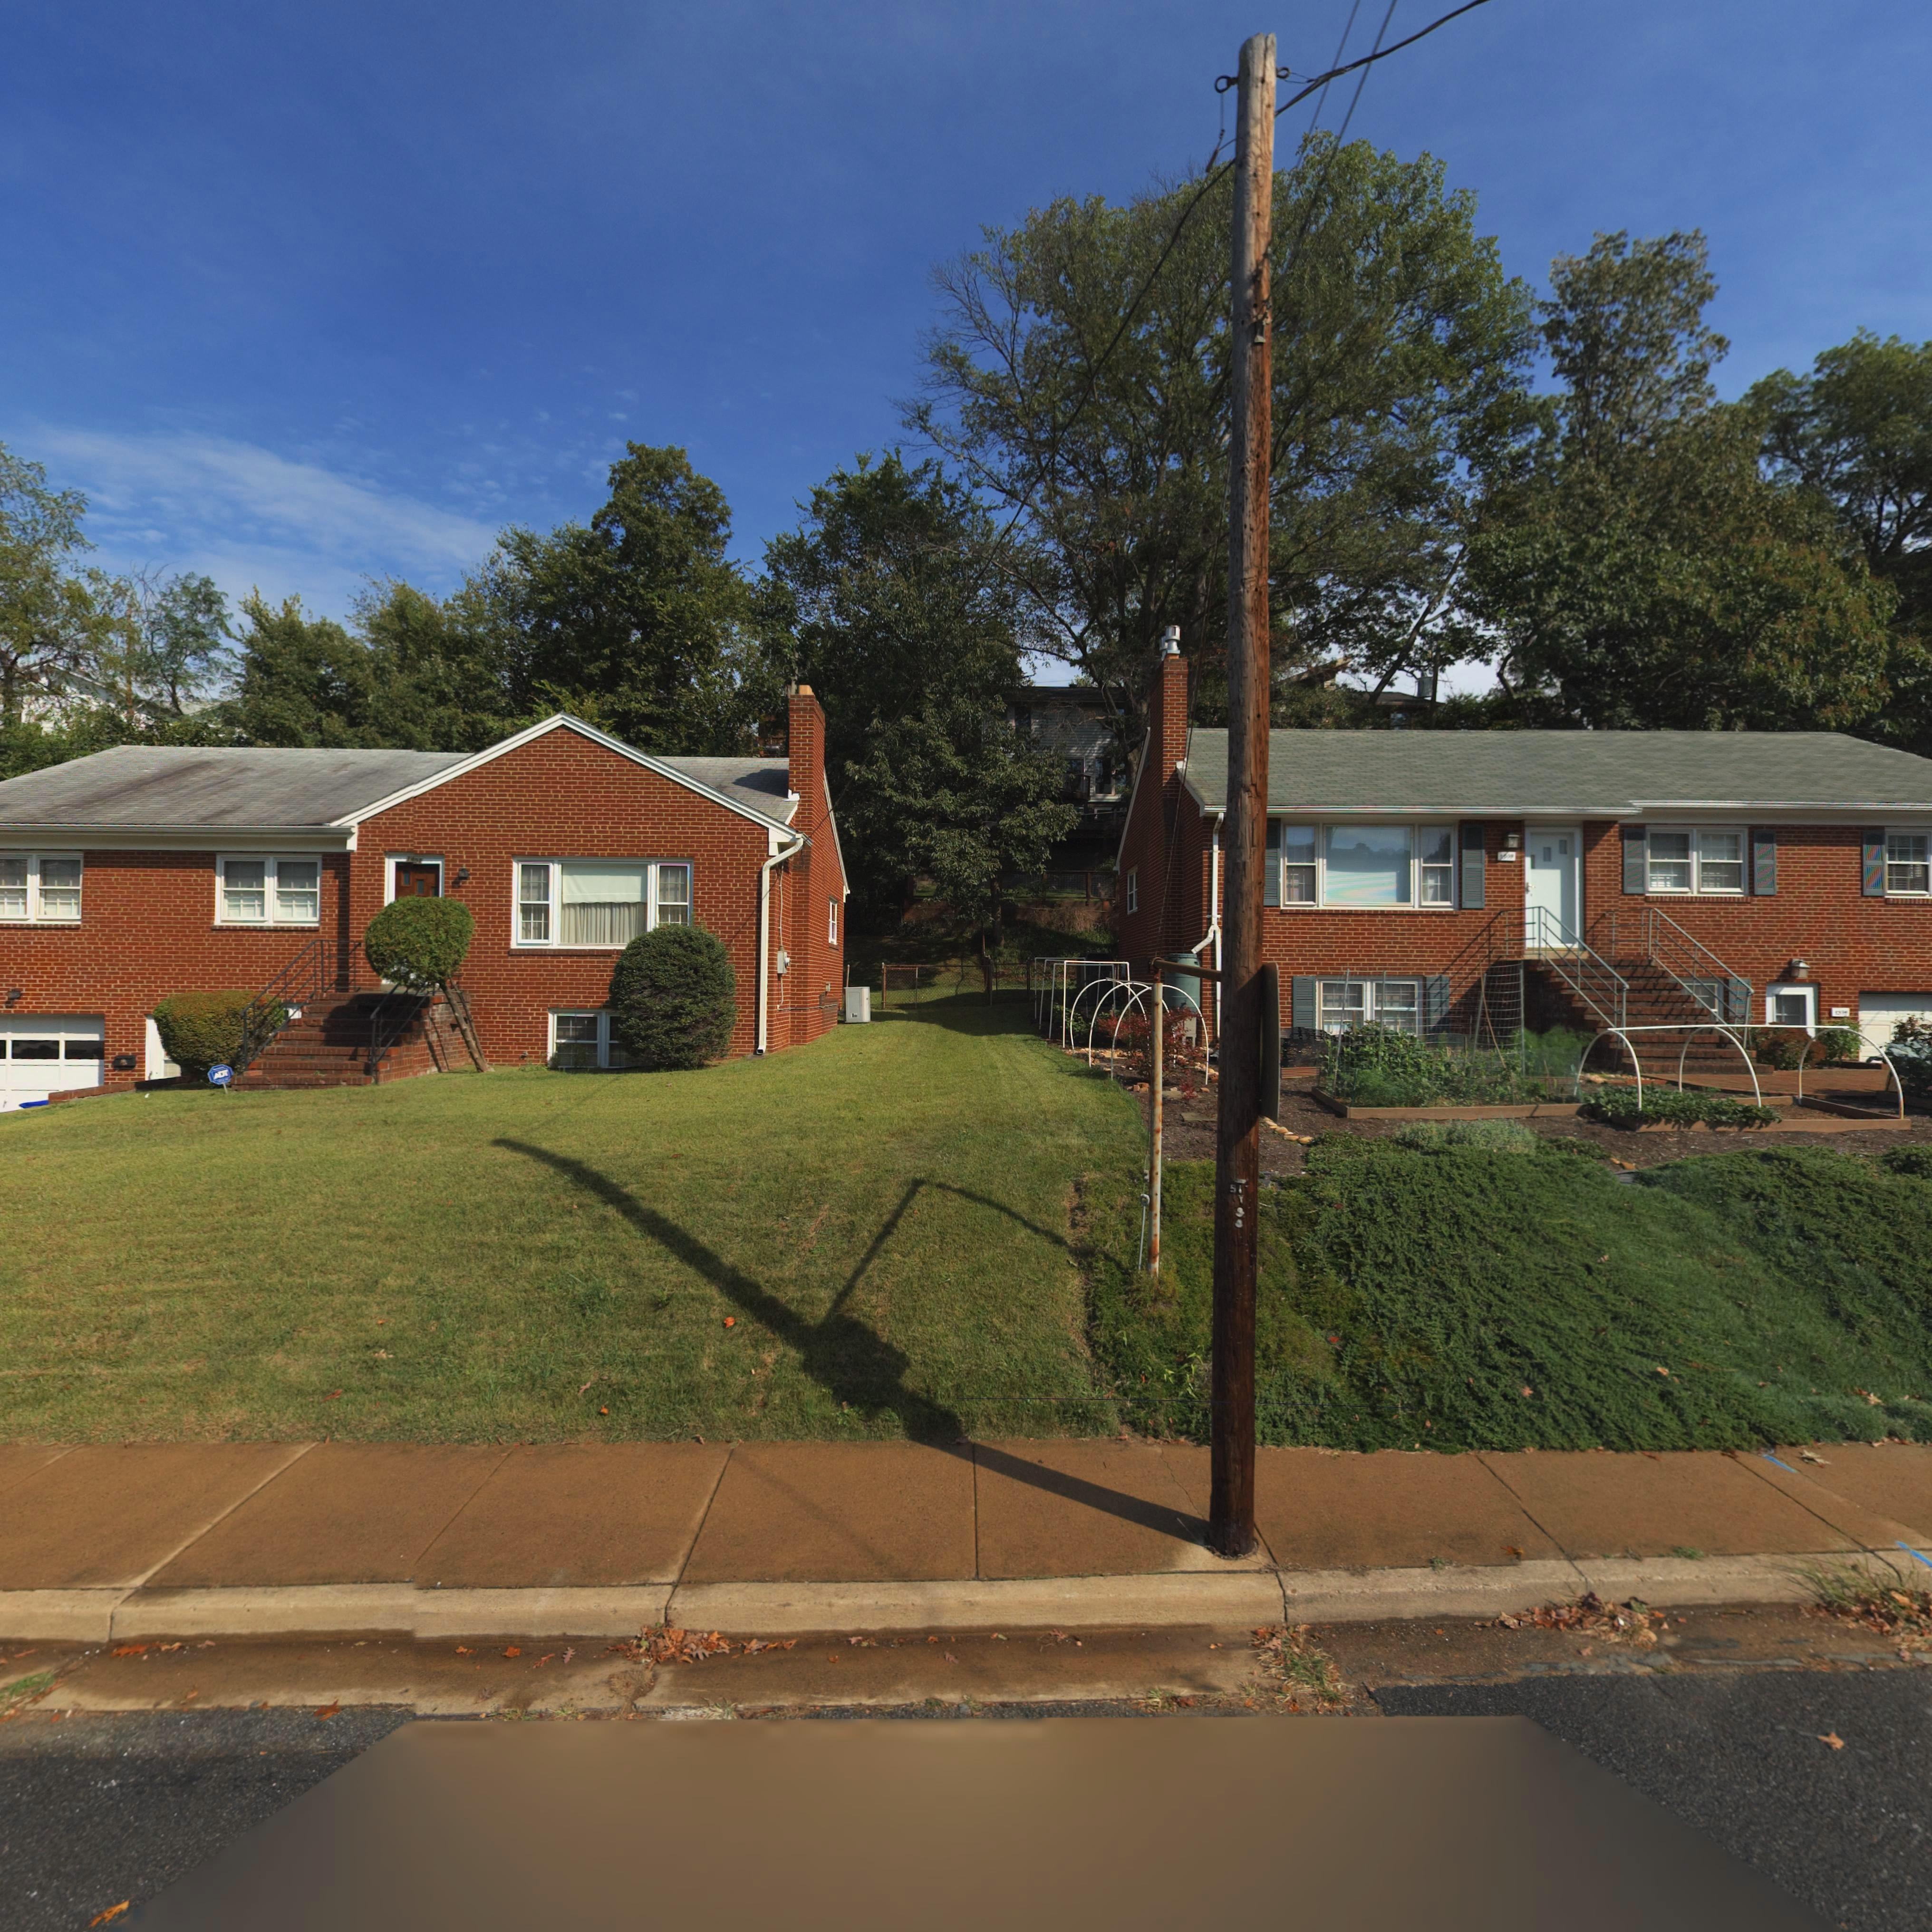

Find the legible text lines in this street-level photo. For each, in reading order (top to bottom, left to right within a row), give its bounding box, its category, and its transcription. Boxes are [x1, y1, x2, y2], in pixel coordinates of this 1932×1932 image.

[406, 856, 424, 864] StreetNumber: 140*
[1499, 853, 1514, 859] StreetNumber: 1***
[213, 1069, 229, 1080] None: ADT
[1229, 1183, 1243, 1194] None: 51
[1237, 1194, 1245, 1204] None: Y
[1235, 1206, 1246, 1228] None: 33